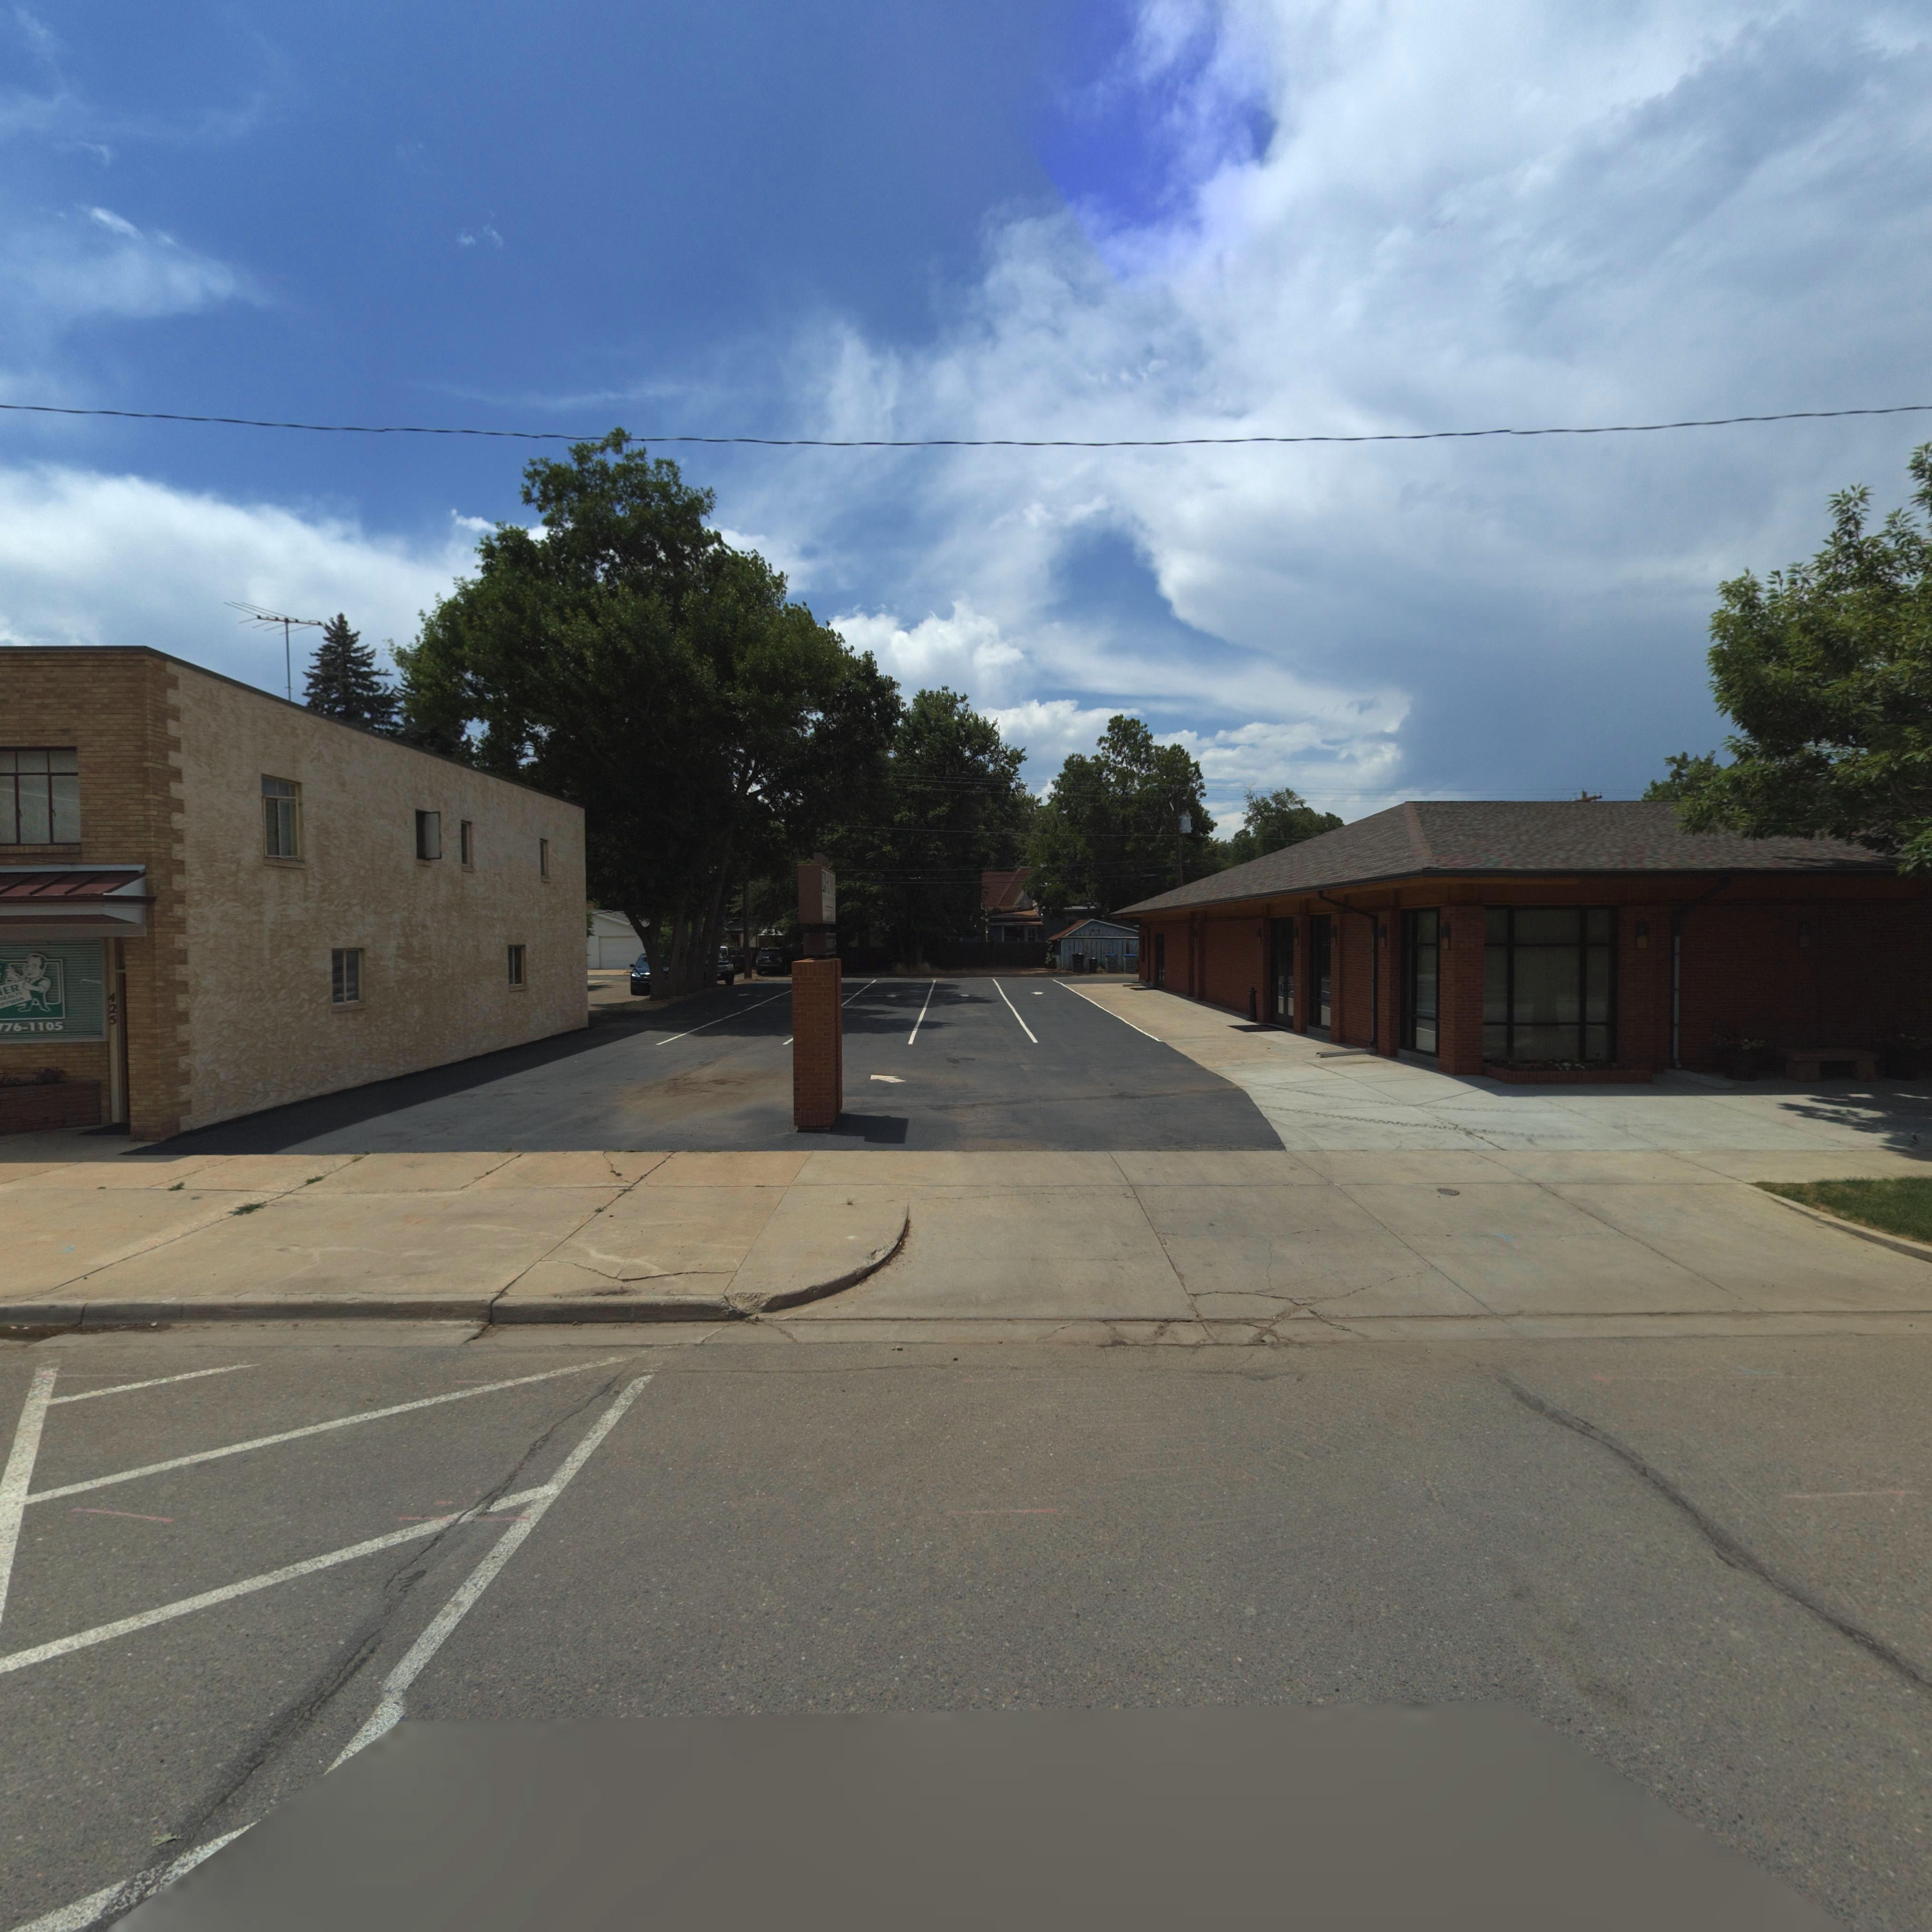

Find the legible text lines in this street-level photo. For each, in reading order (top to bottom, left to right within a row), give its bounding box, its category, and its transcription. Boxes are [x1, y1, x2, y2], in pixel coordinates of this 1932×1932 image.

[1, 983, 19, 995] BusinessName: ER
[107, 992, 116, 1025] StreetNumber: 425